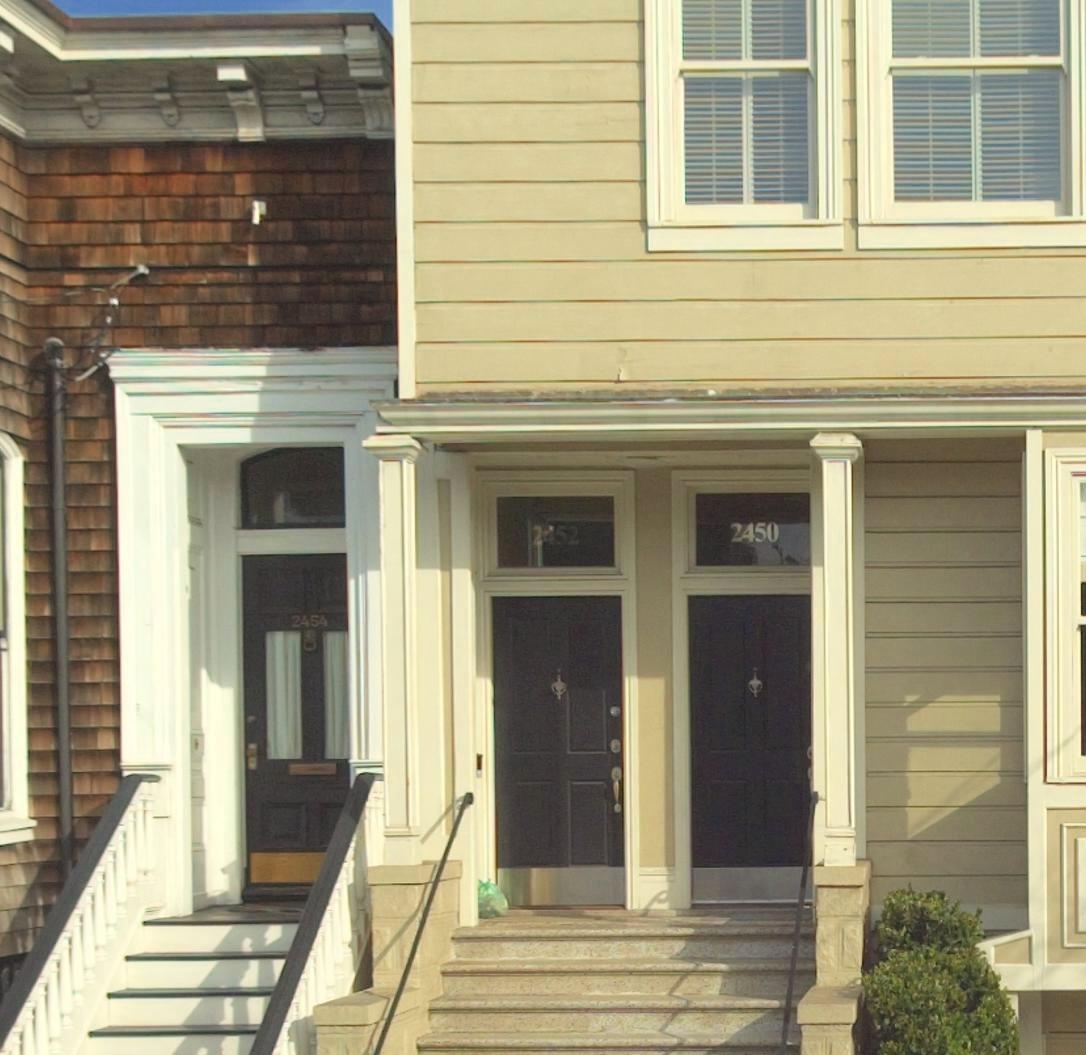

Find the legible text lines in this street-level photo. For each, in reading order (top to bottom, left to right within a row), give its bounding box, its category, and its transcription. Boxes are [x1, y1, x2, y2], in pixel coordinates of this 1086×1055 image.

[530, 522, 581, 548] StreetNumber: 2452
[727, 519, 782, 546] StreetNumber: 2450
[288, 610, 333, 632] StreetNumber: 2454